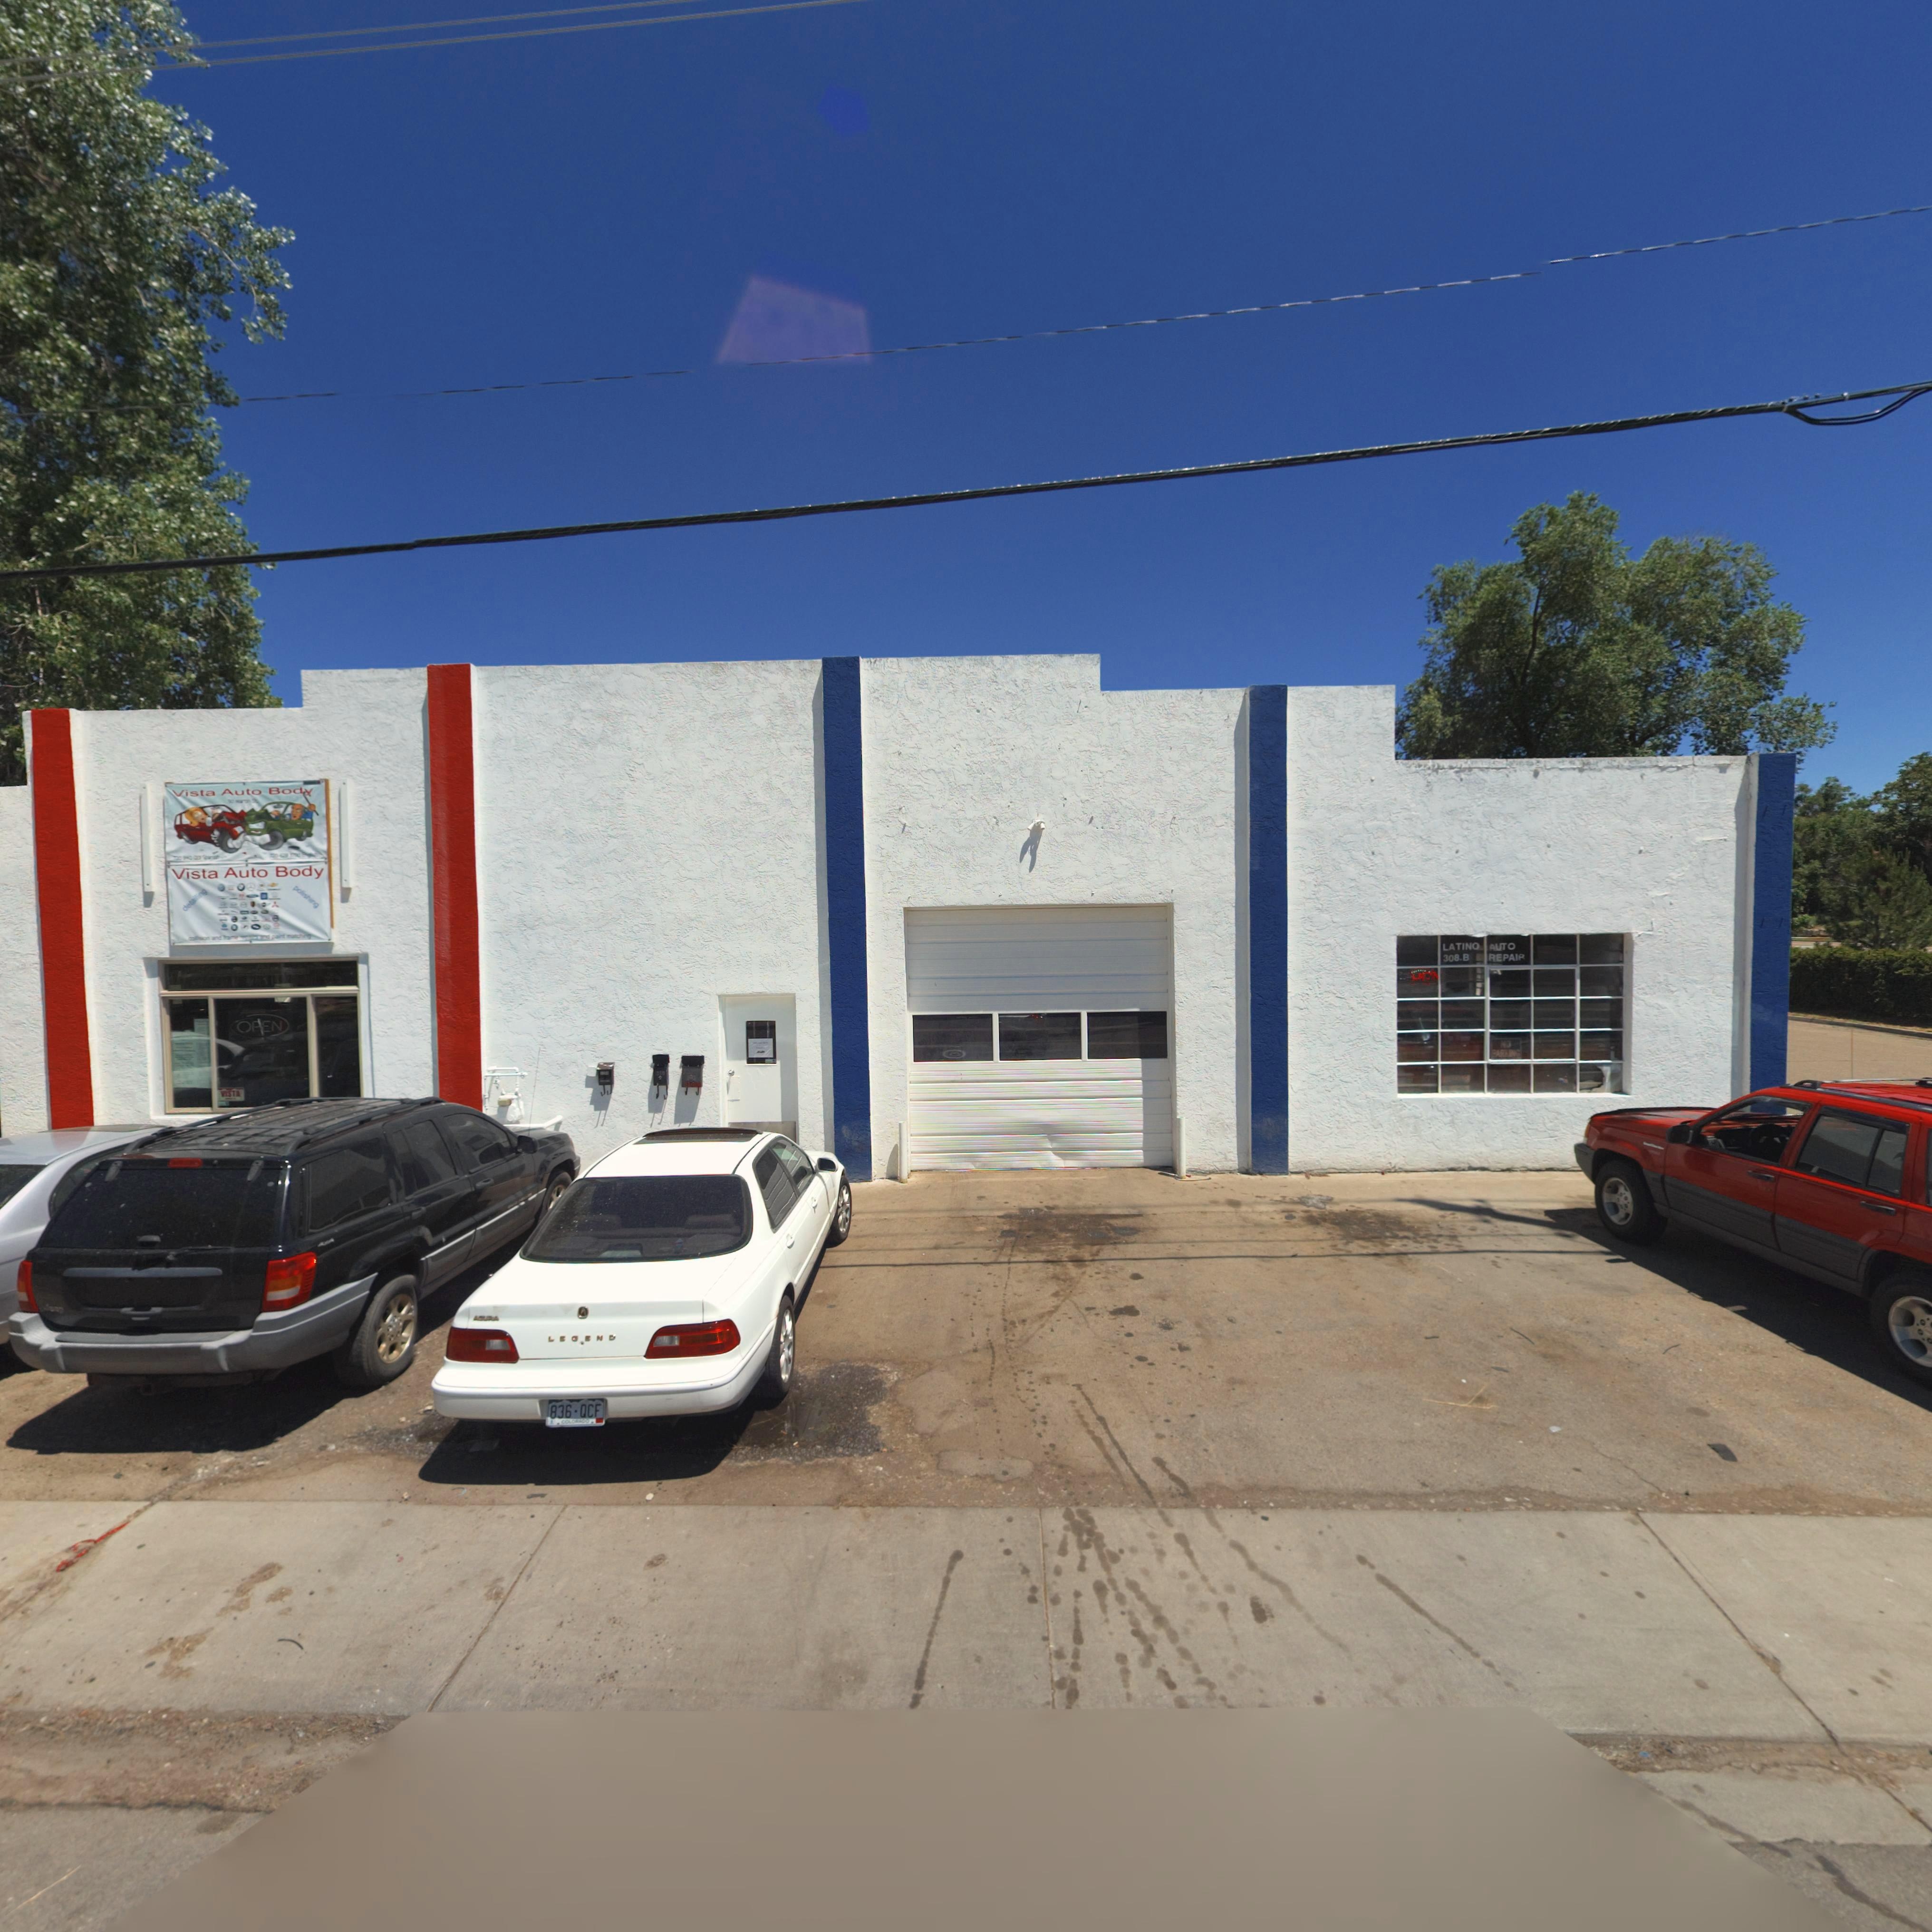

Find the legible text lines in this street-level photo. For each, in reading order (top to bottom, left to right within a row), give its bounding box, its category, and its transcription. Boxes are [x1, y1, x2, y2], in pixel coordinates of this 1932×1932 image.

[171, 786, 315, 797] BusinessName: Vista Auto Body
[171, 864, 325, 880] BusinessName: Vista Auto Body
[1442, 941, 1516, 951] BusinessName: LATINO * AUTO
[1442, 953, 1469, 963] StreetNumber: 308.B
[1488, 953, 1526, 962] BusinessName: REPAIR
[656, 1070, 666, 1076] StreetNumber: 310
[686, 1074, 696, 1082] StreetNumber: *32